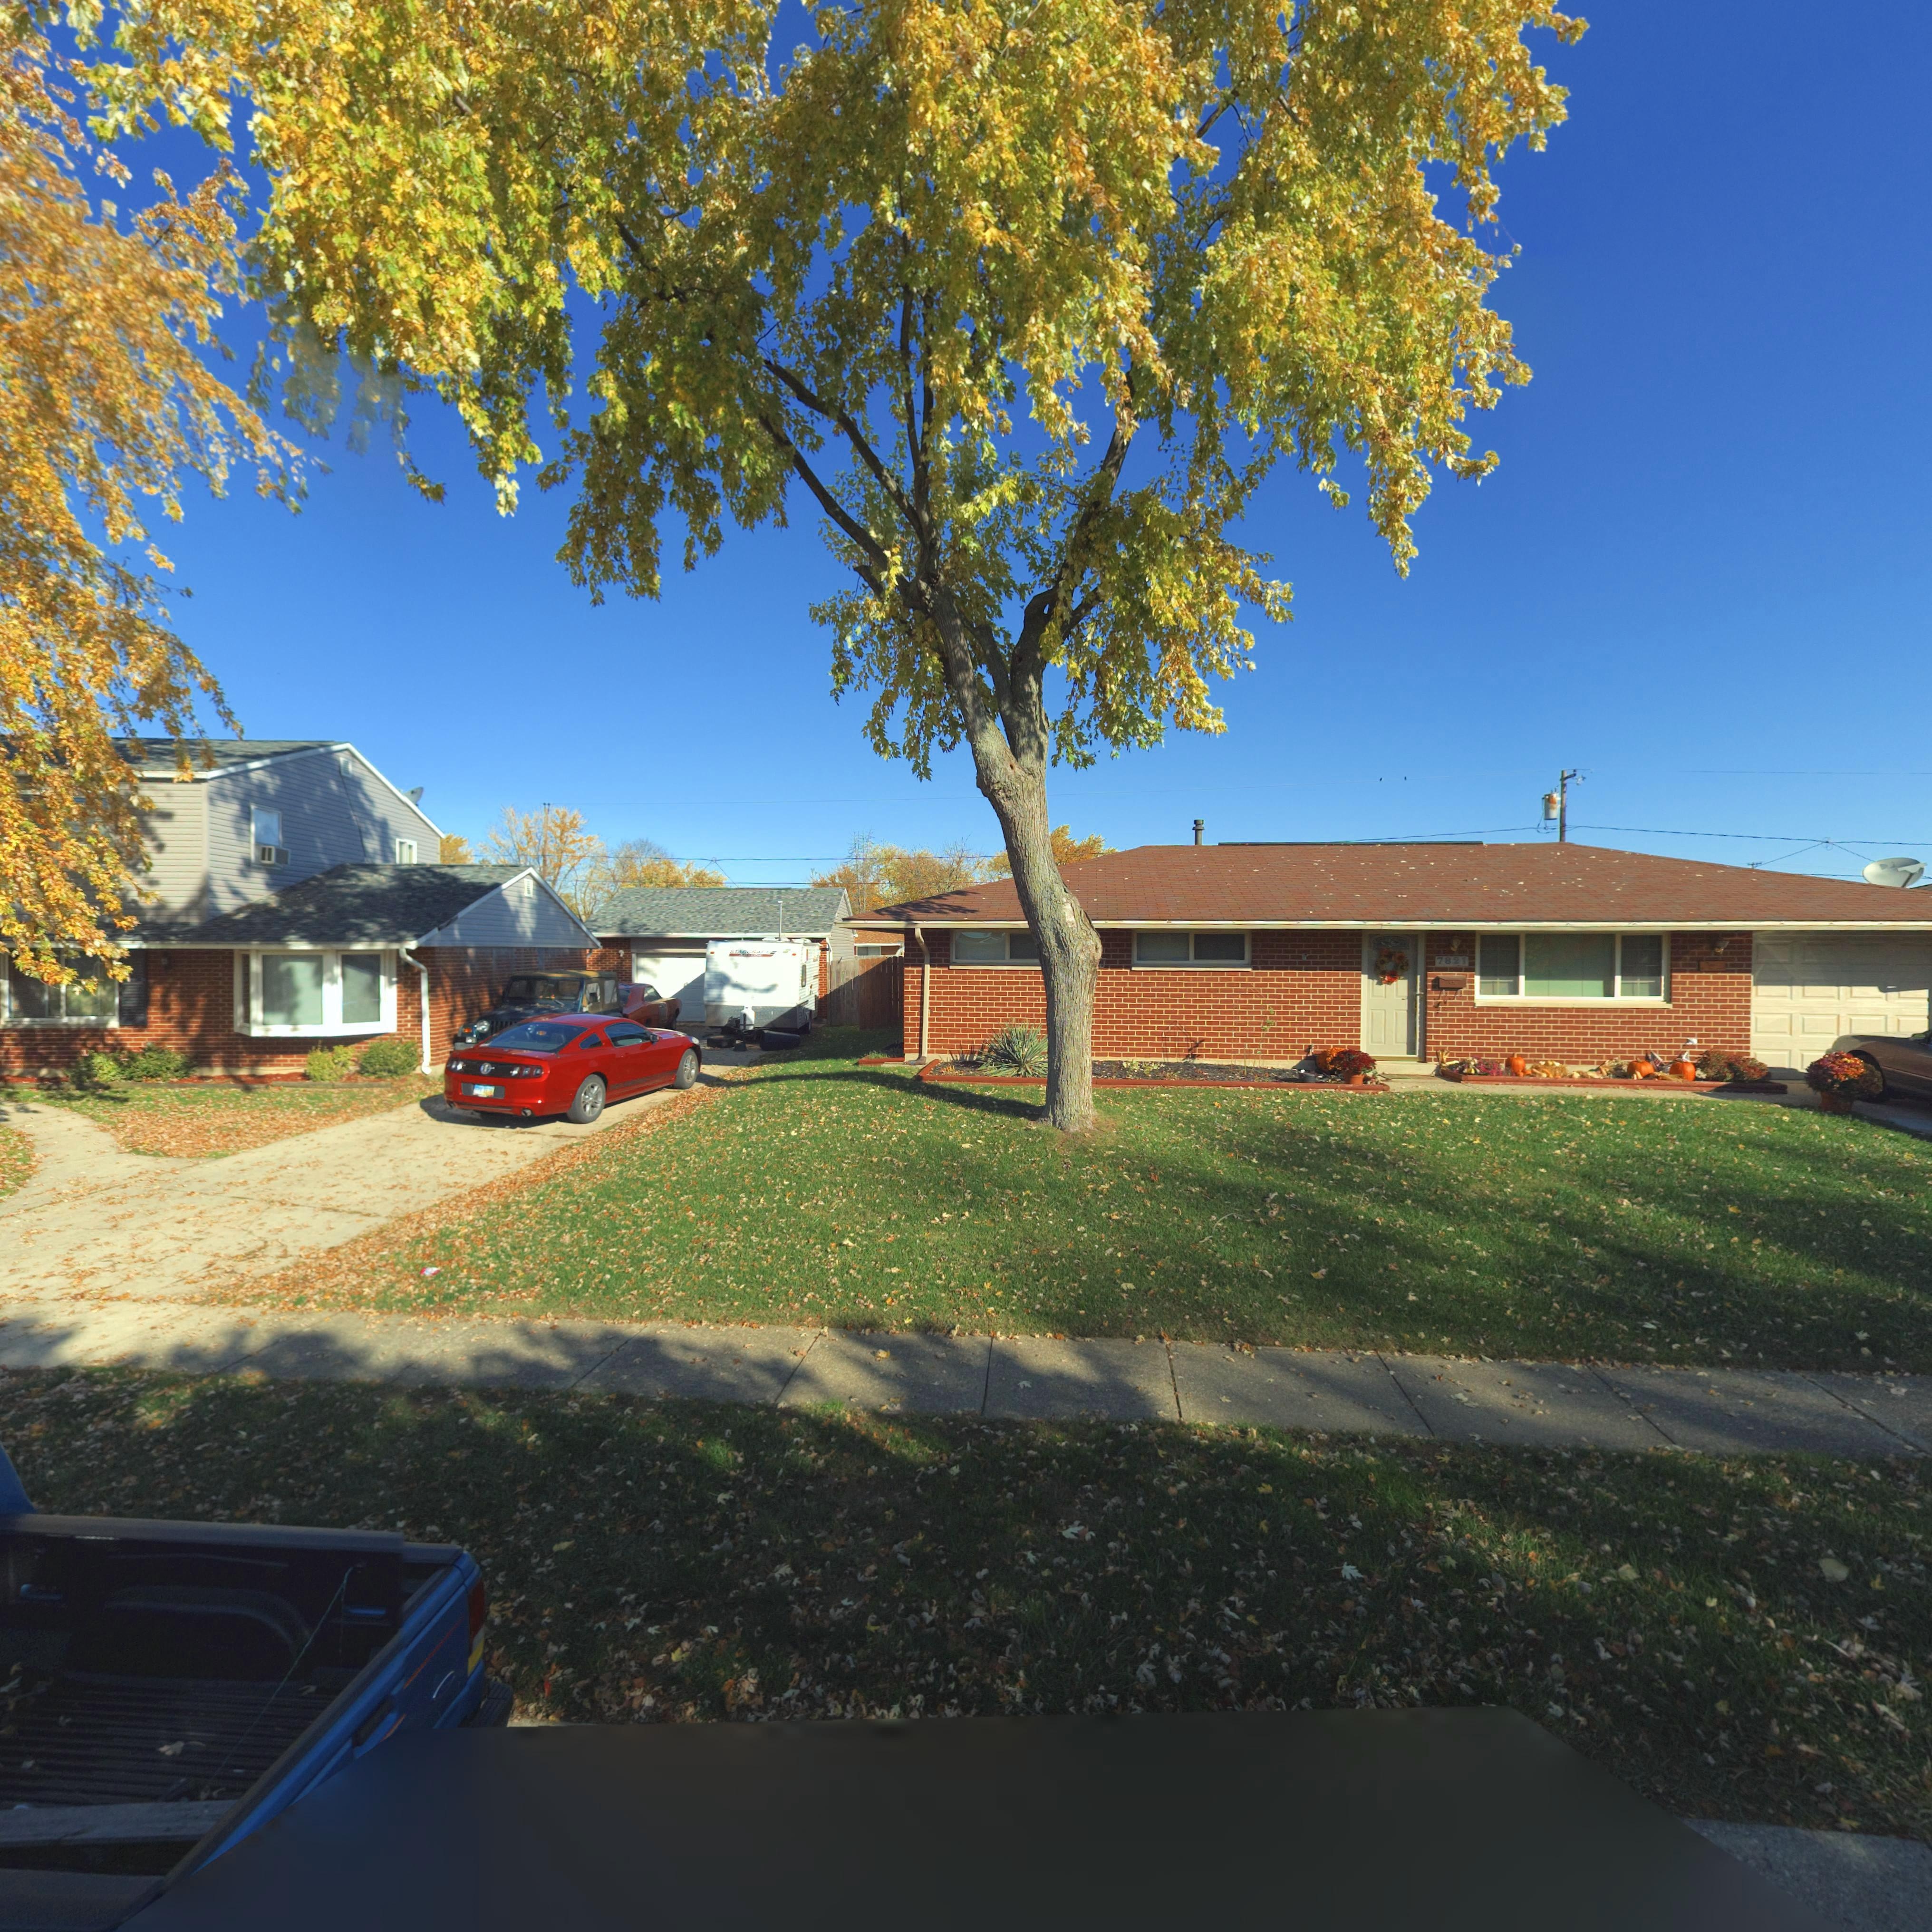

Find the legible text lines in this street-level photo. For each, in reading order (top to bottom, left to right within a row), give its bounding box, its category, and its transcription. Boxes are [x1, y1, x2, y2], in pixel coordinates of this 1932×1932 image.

[1436, 956, 1467, 965] StreetNumber: 7821